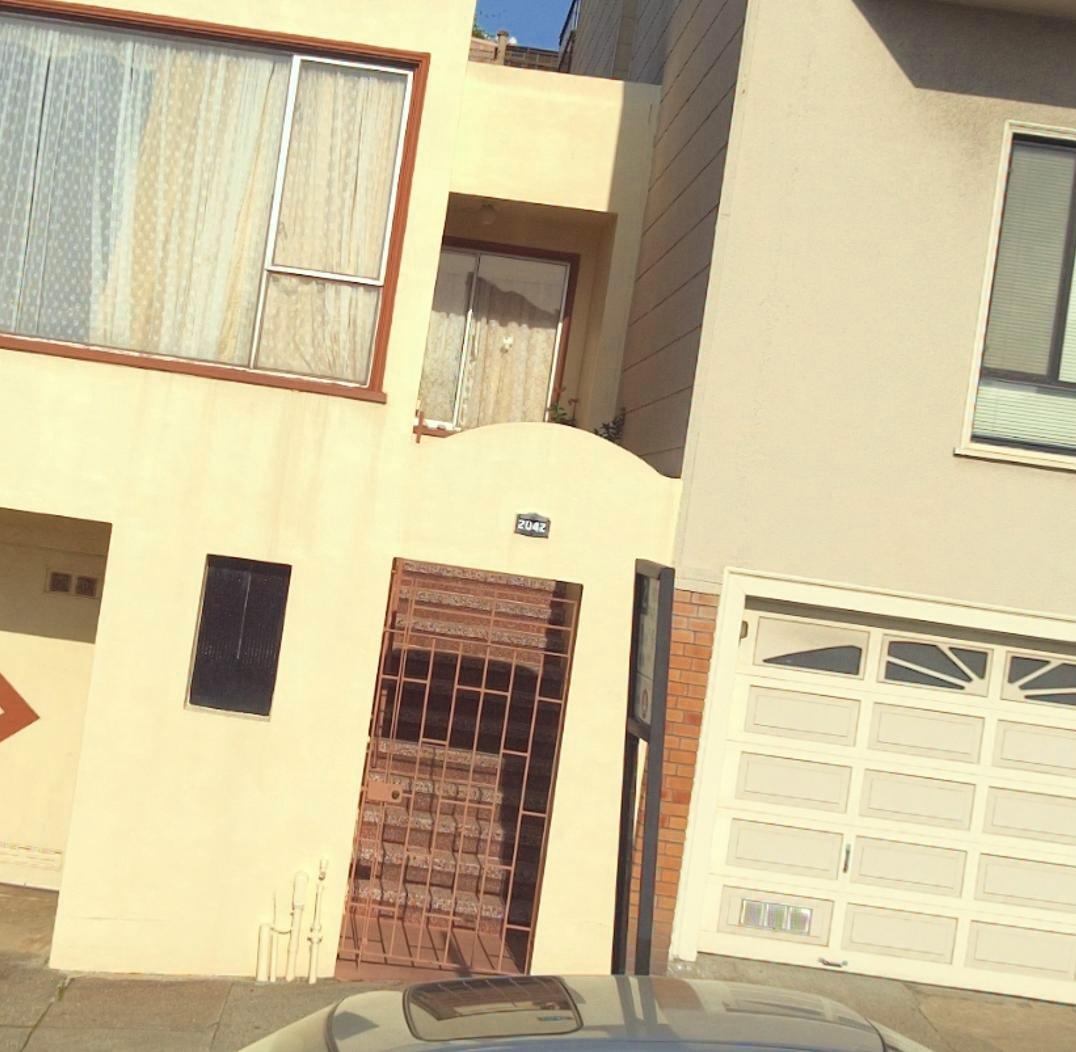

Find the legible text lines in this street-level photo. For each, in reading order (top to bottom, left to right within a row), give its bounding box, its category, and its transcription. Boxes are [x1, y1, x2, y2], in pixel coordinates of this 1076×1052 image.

[515, 517, 548, 535] StreetNumber: 2042